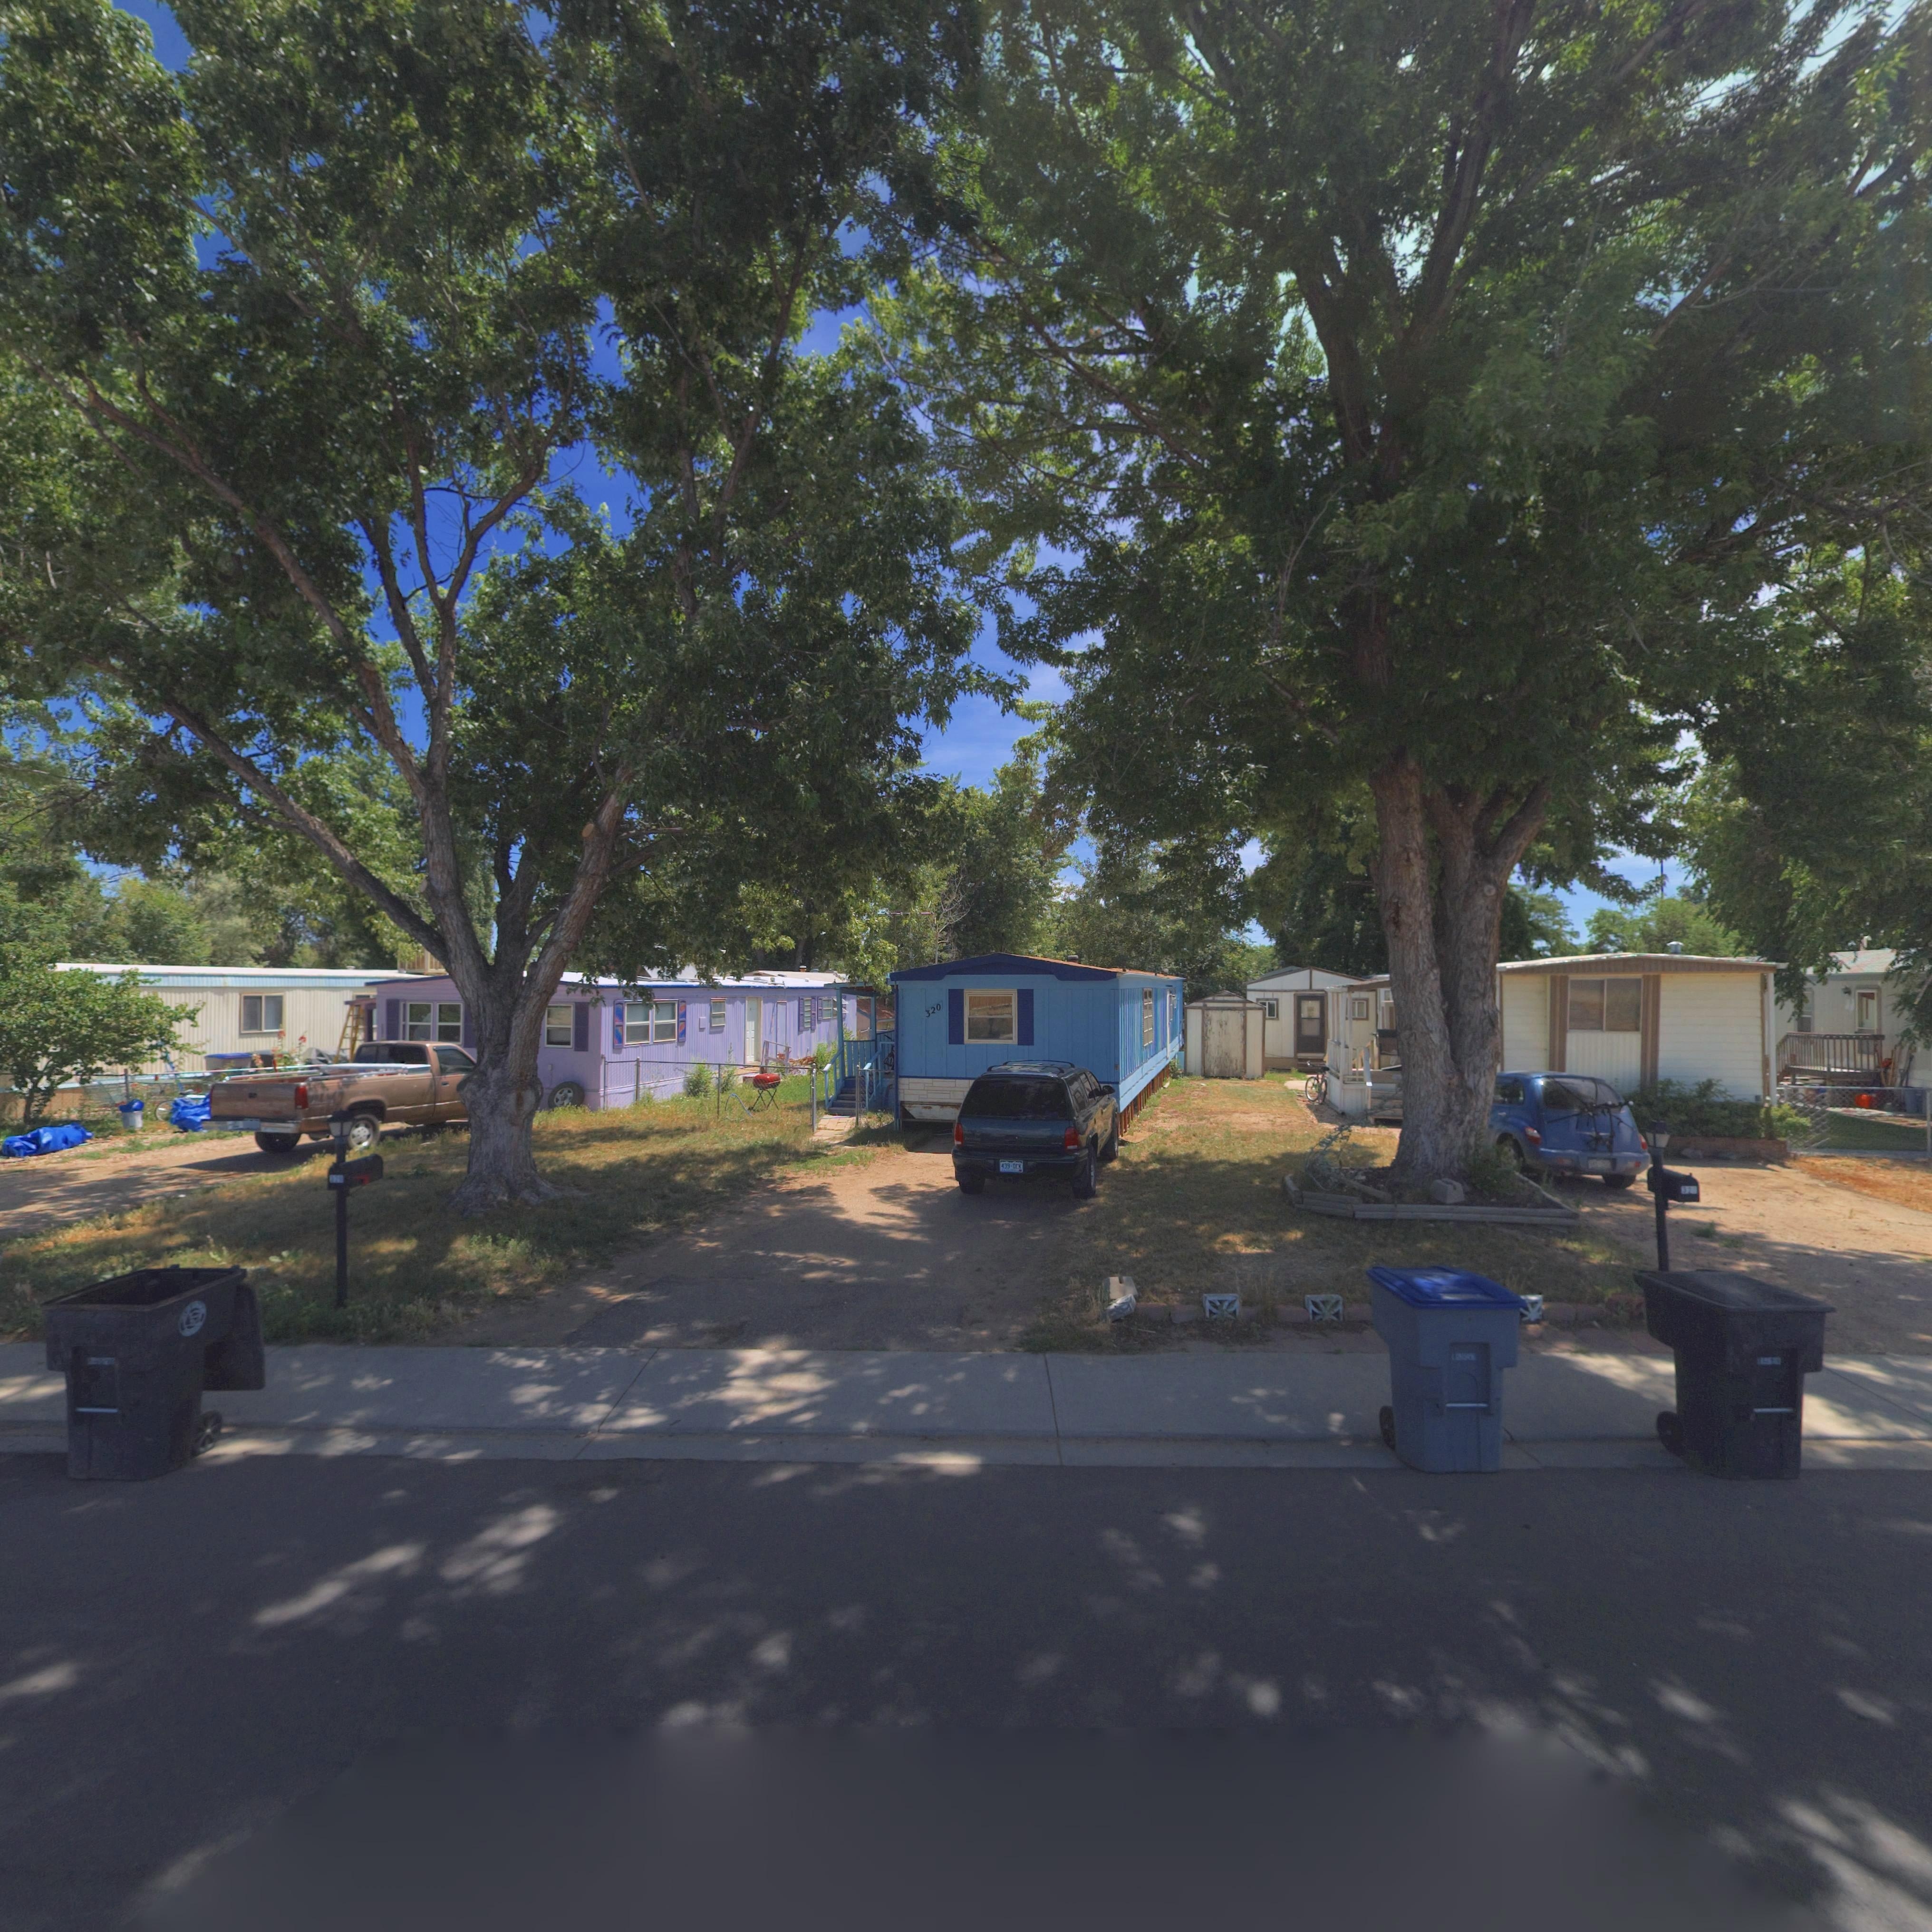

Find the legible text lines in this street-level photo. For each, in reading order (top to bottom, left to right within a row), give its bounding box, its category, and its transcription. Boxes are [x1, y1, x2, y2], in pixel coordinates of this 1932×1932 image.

[924, 1003, 942, 1018] StreetNumber: 320
[329, 1175, 343, 1183] StreetNumber: 32*
[1681, 1185, 1697, 1194] StreetNumber: 32*